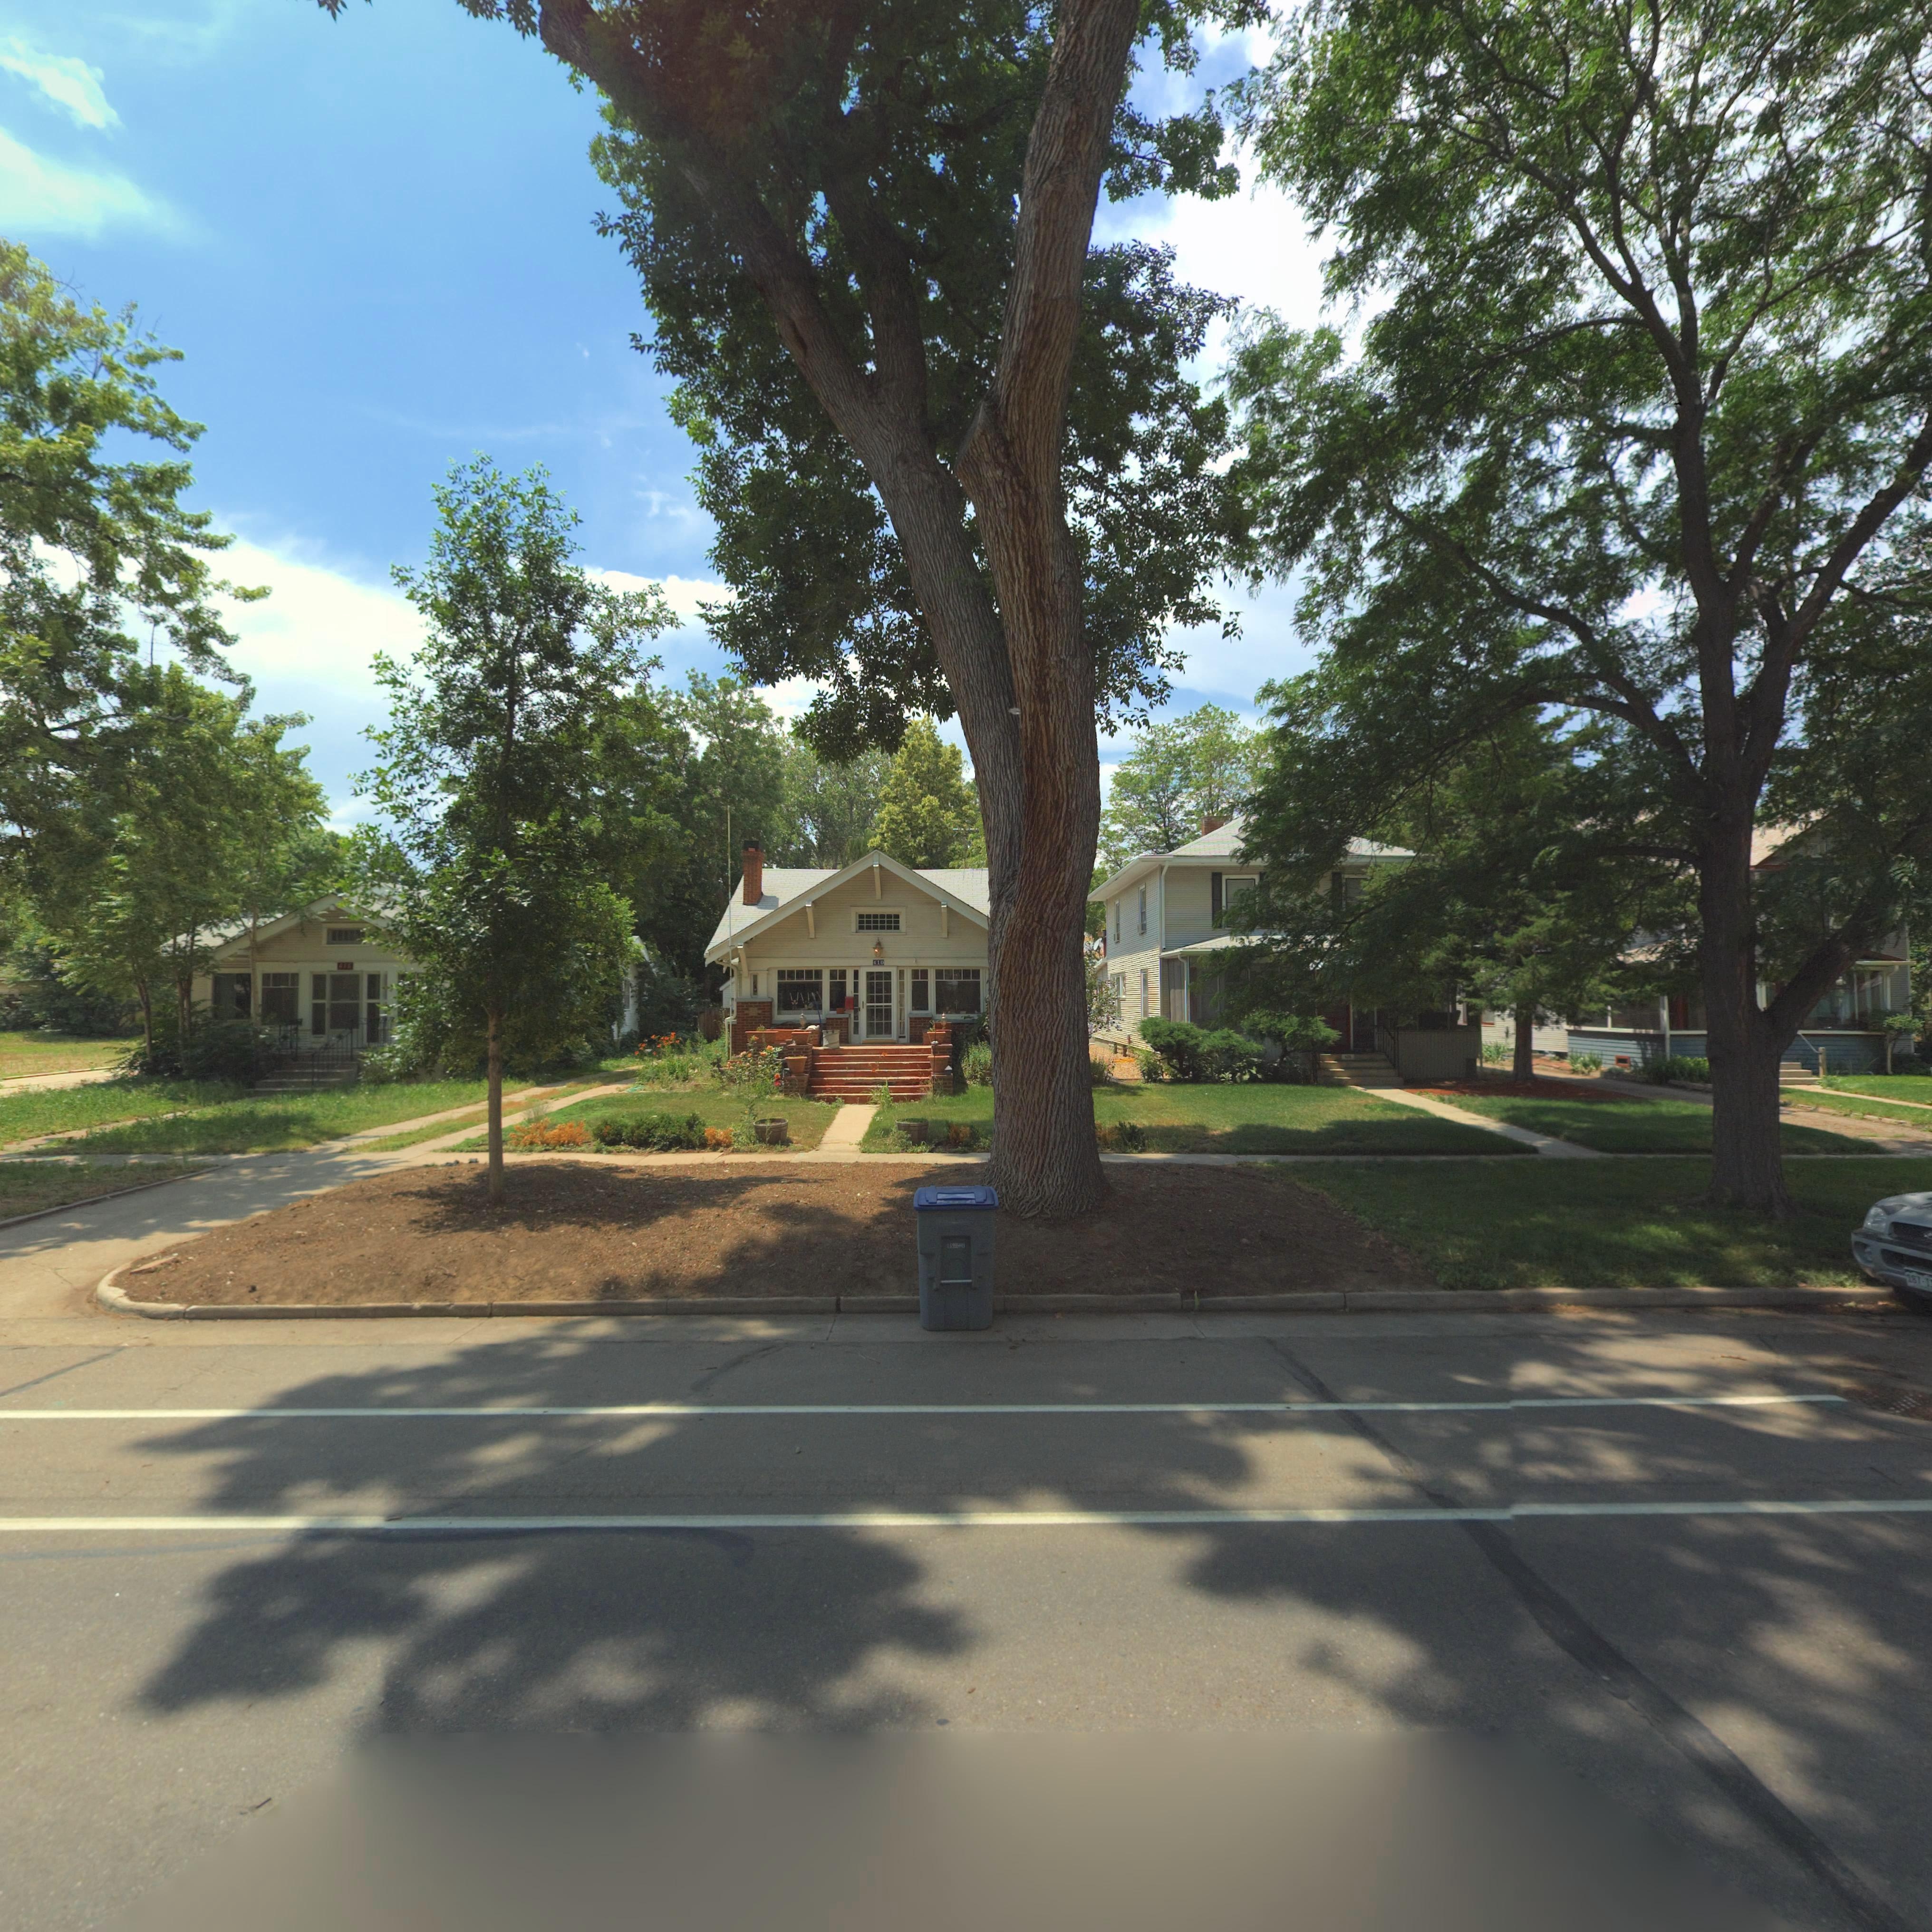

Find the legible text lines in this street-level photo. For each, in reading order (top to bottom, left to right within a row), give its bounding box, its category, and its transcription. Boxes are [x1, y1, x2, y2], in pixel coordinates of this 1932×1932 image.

[872, 959, 884, 965] StreetNumber: 410
[337, 962, 352, 970] StreetNumber: 415
[1344, 1054, 1352, 1058] StreetNumber: *2*